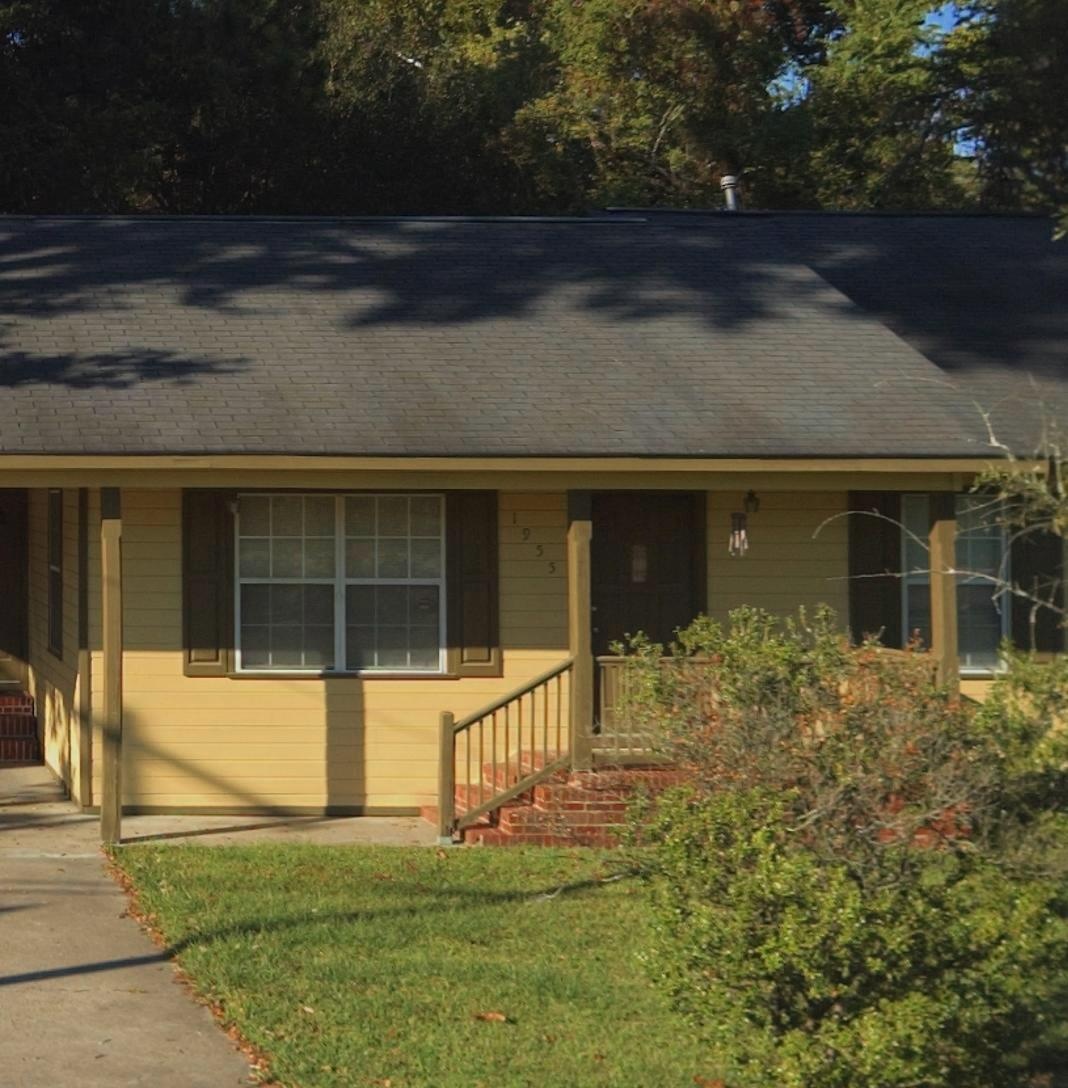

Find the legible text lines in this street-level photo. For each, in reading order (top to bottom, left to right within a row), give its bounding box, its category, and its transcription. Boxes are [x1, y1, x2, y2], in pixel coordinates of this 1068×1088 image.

[510, 510, 558, 575] StreetNumber: 1955